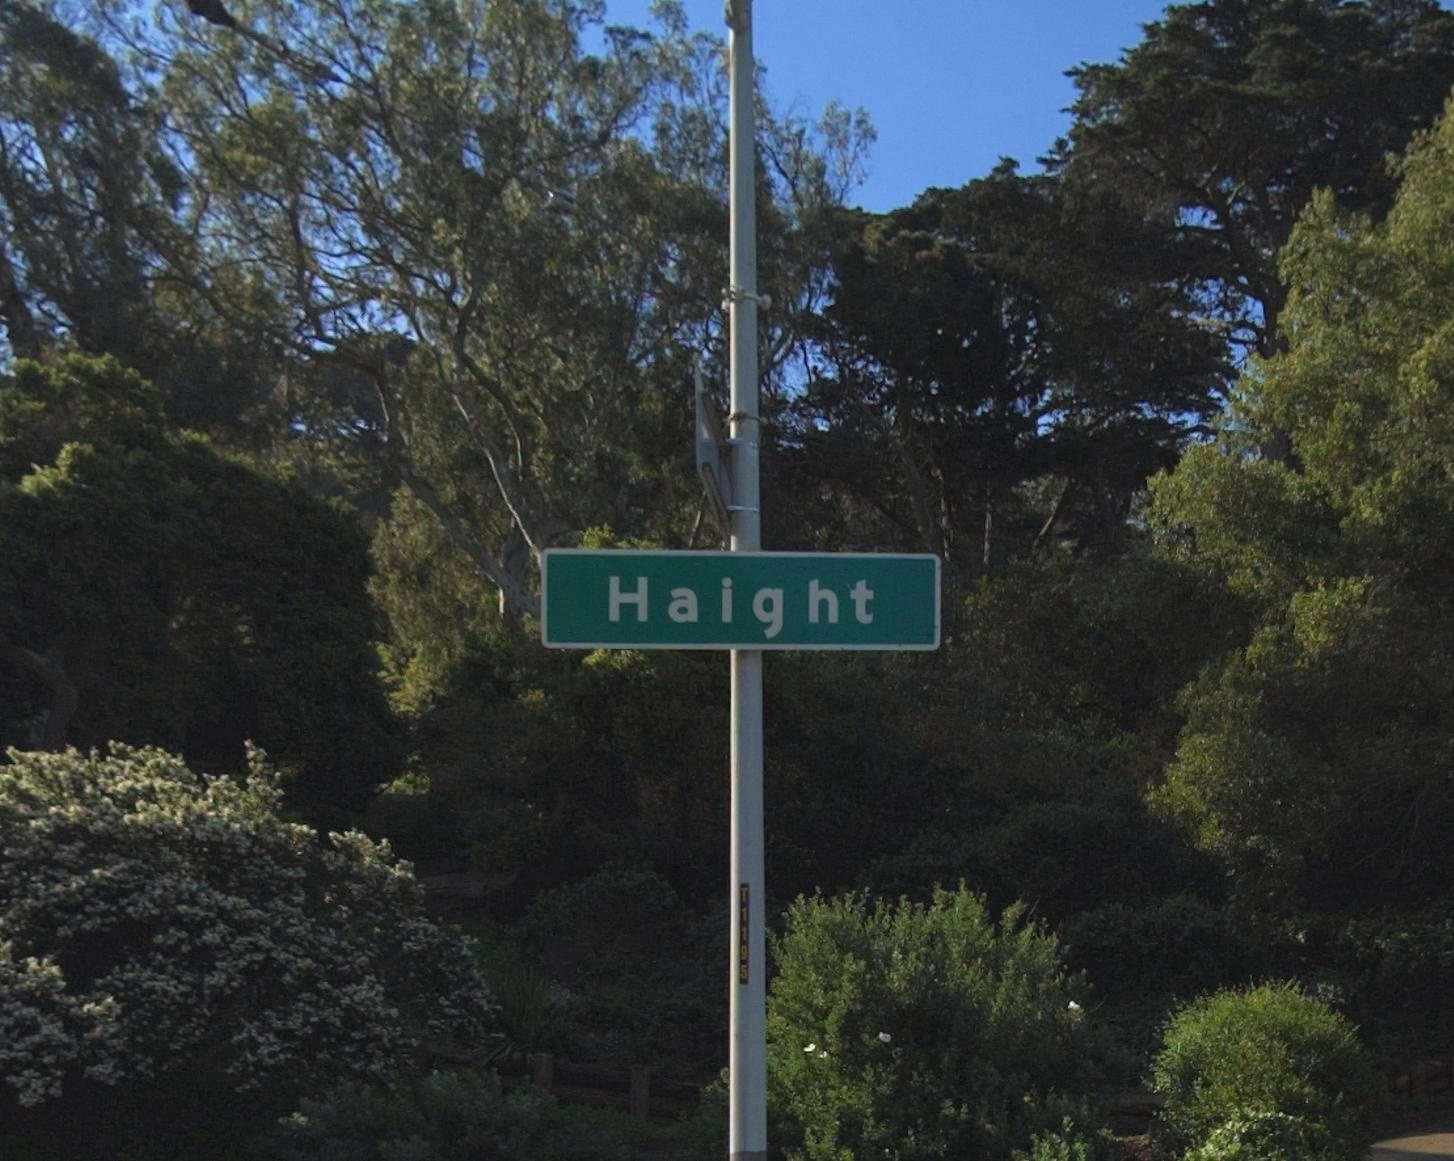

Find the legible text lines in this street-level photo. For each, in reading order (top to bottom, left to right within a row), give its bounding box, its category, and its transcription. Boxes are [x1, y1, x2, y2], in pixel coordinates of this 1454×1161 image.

[603, 569, 880, 642] StreetName: Haight
[737, 881, 749, 981] None: T1195